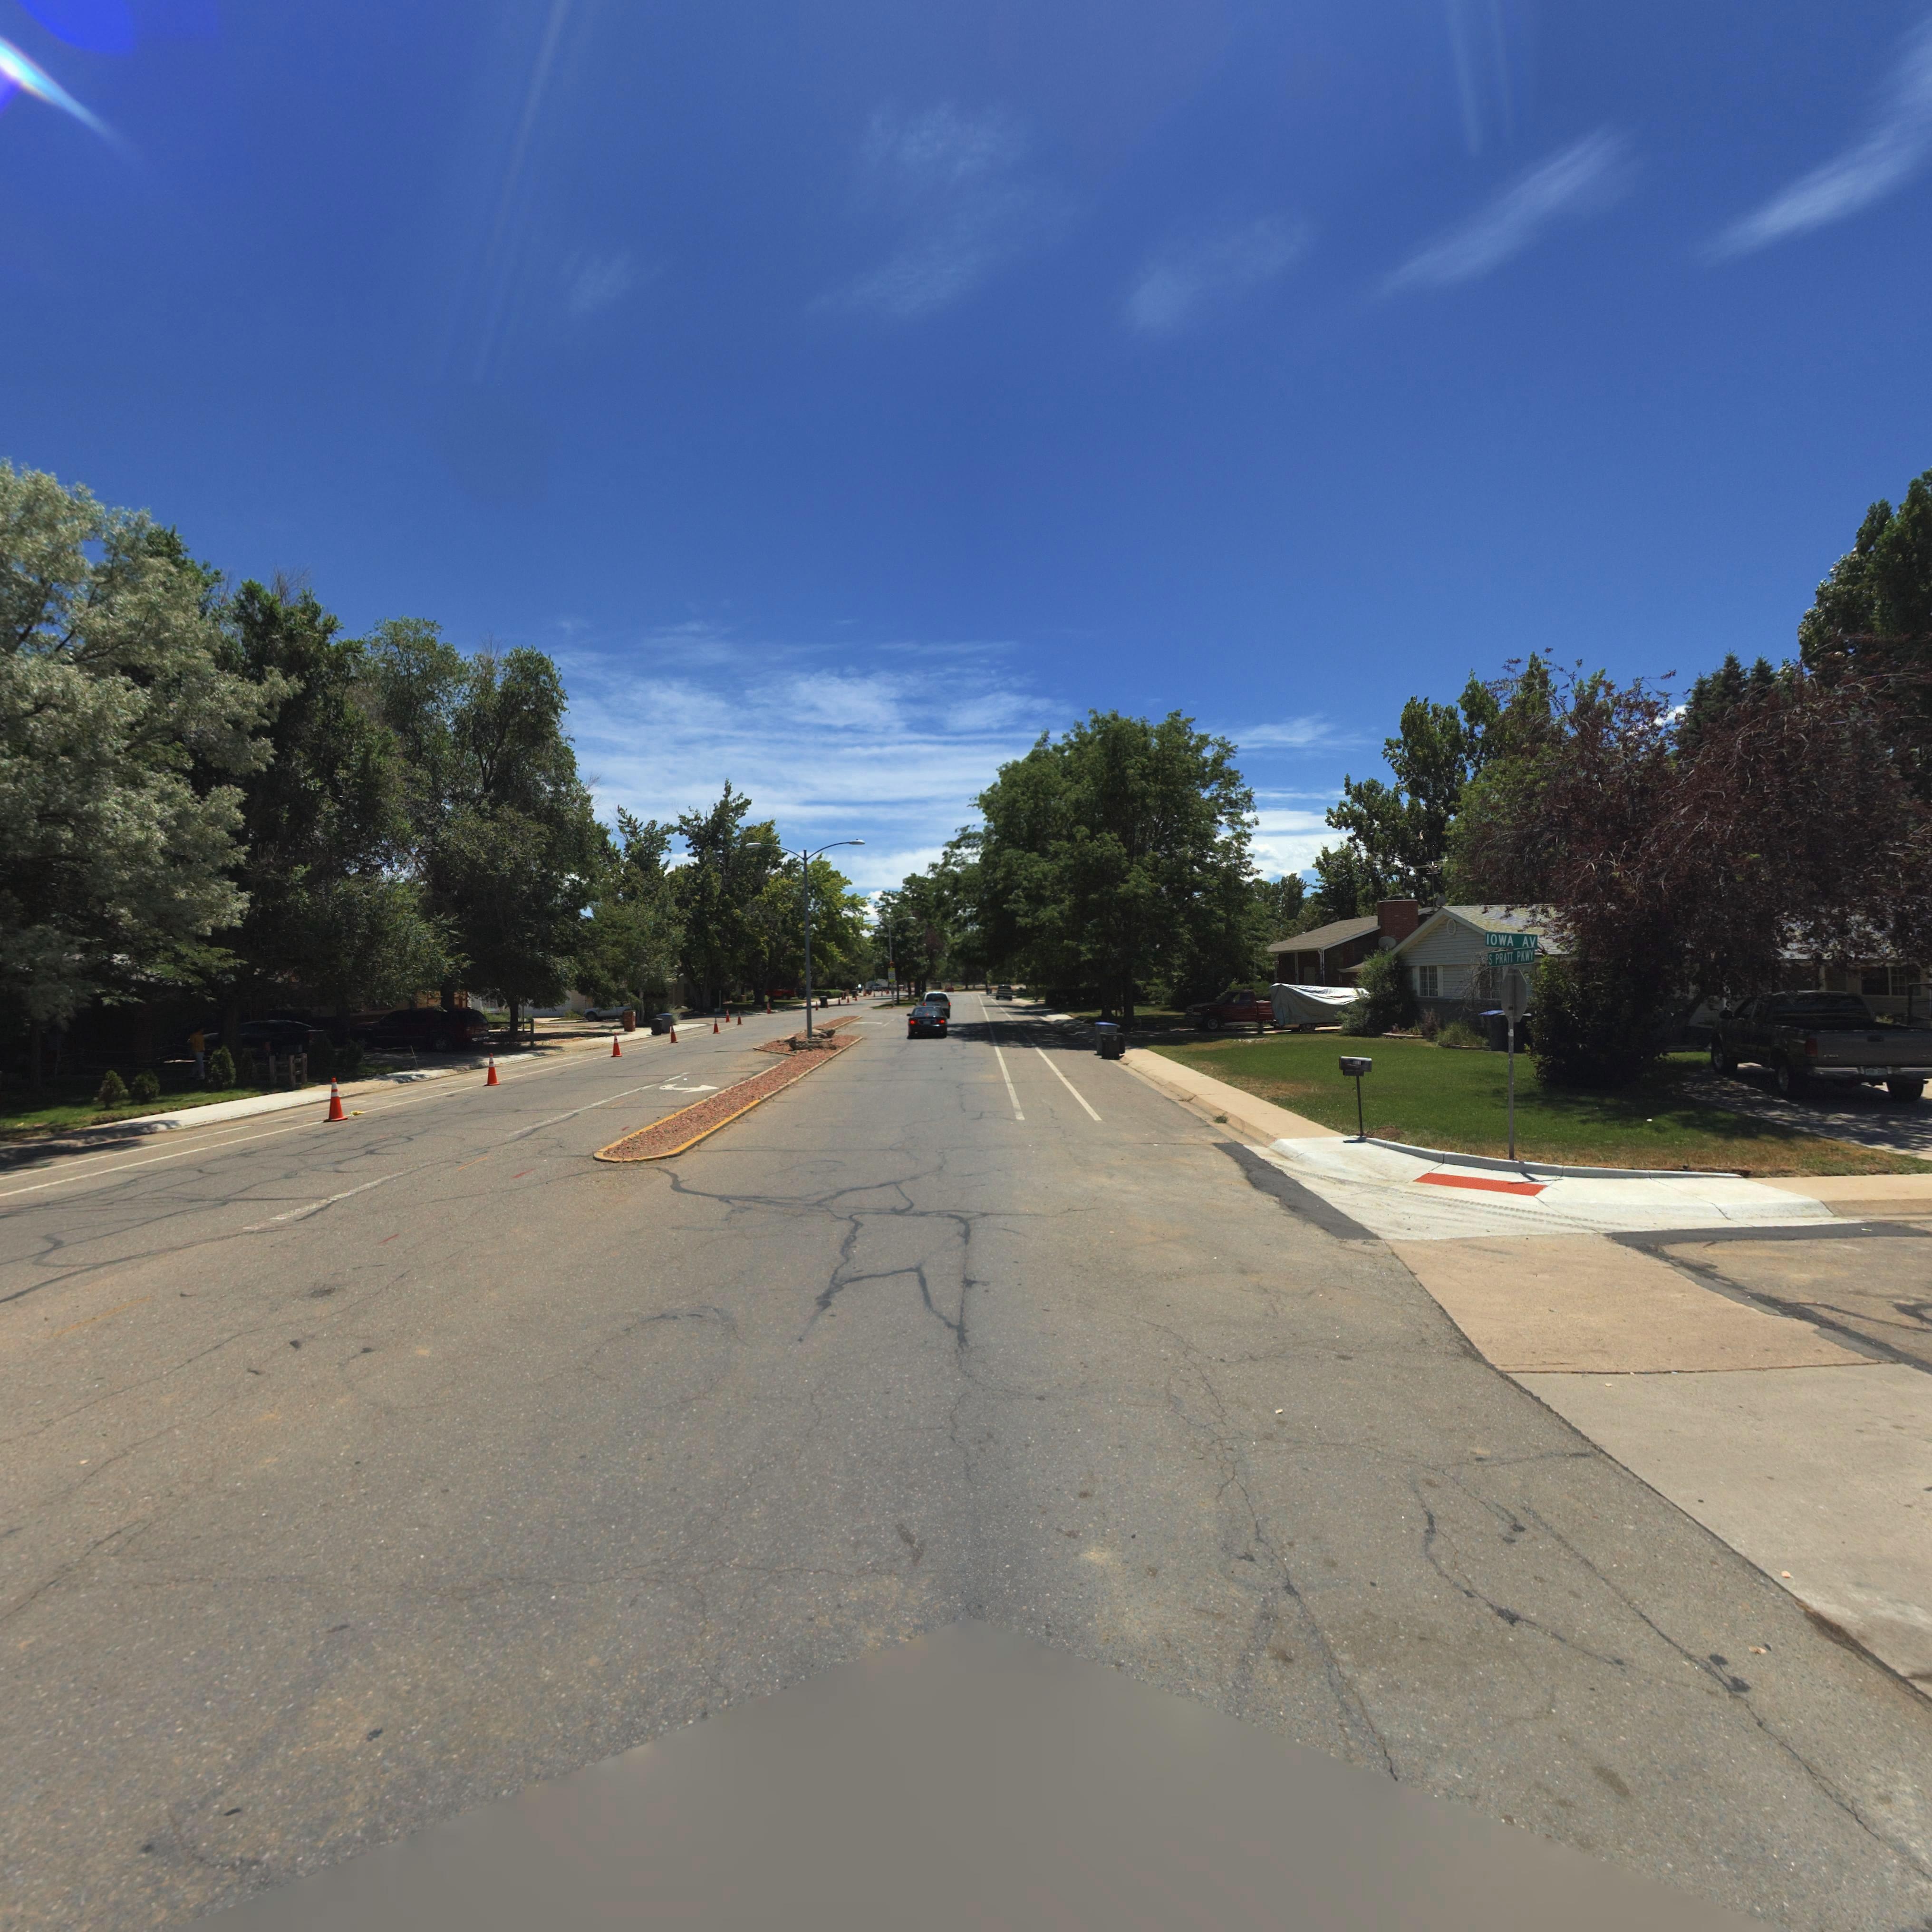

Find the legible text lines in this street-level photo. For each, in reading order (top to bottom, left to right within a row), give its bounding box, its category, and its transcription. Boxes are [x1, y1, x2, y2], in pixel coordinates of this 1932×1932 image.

[1486, 933, 1536, 948] StreetName: IOWA AV
[1488, 949, 1534, 965] StreetName: S PRATT PKWY